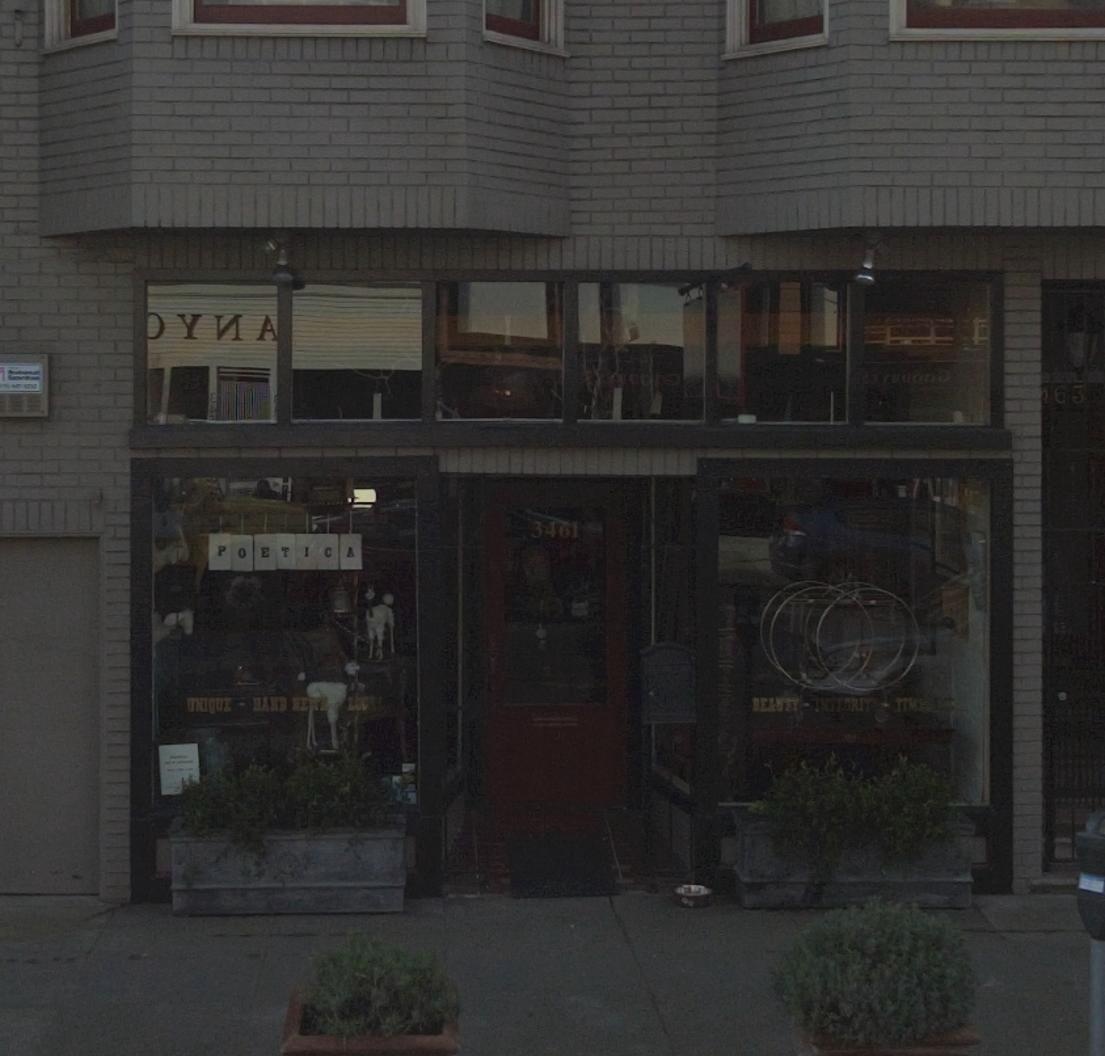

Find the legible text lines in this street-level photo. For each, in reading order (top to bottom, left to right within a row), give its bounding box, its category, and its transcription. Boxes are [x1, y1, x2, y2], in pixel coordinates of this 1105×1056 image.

[173, 311, 280, 343] None: Y*A
[910, 368, 953, 386] None: oo*
[1052, 383, 1088, 407] StreetNumber: 63
[528, 518, 581, 541] StreetNumber: 3461
[214, 543, 356, 560] BusinessName: POETICA
[183, 694, 236, 716] None: UNIQUE
[250, 694, 290, 715] None: HAND
[749, 694, 802, 714] None: BEAUTY